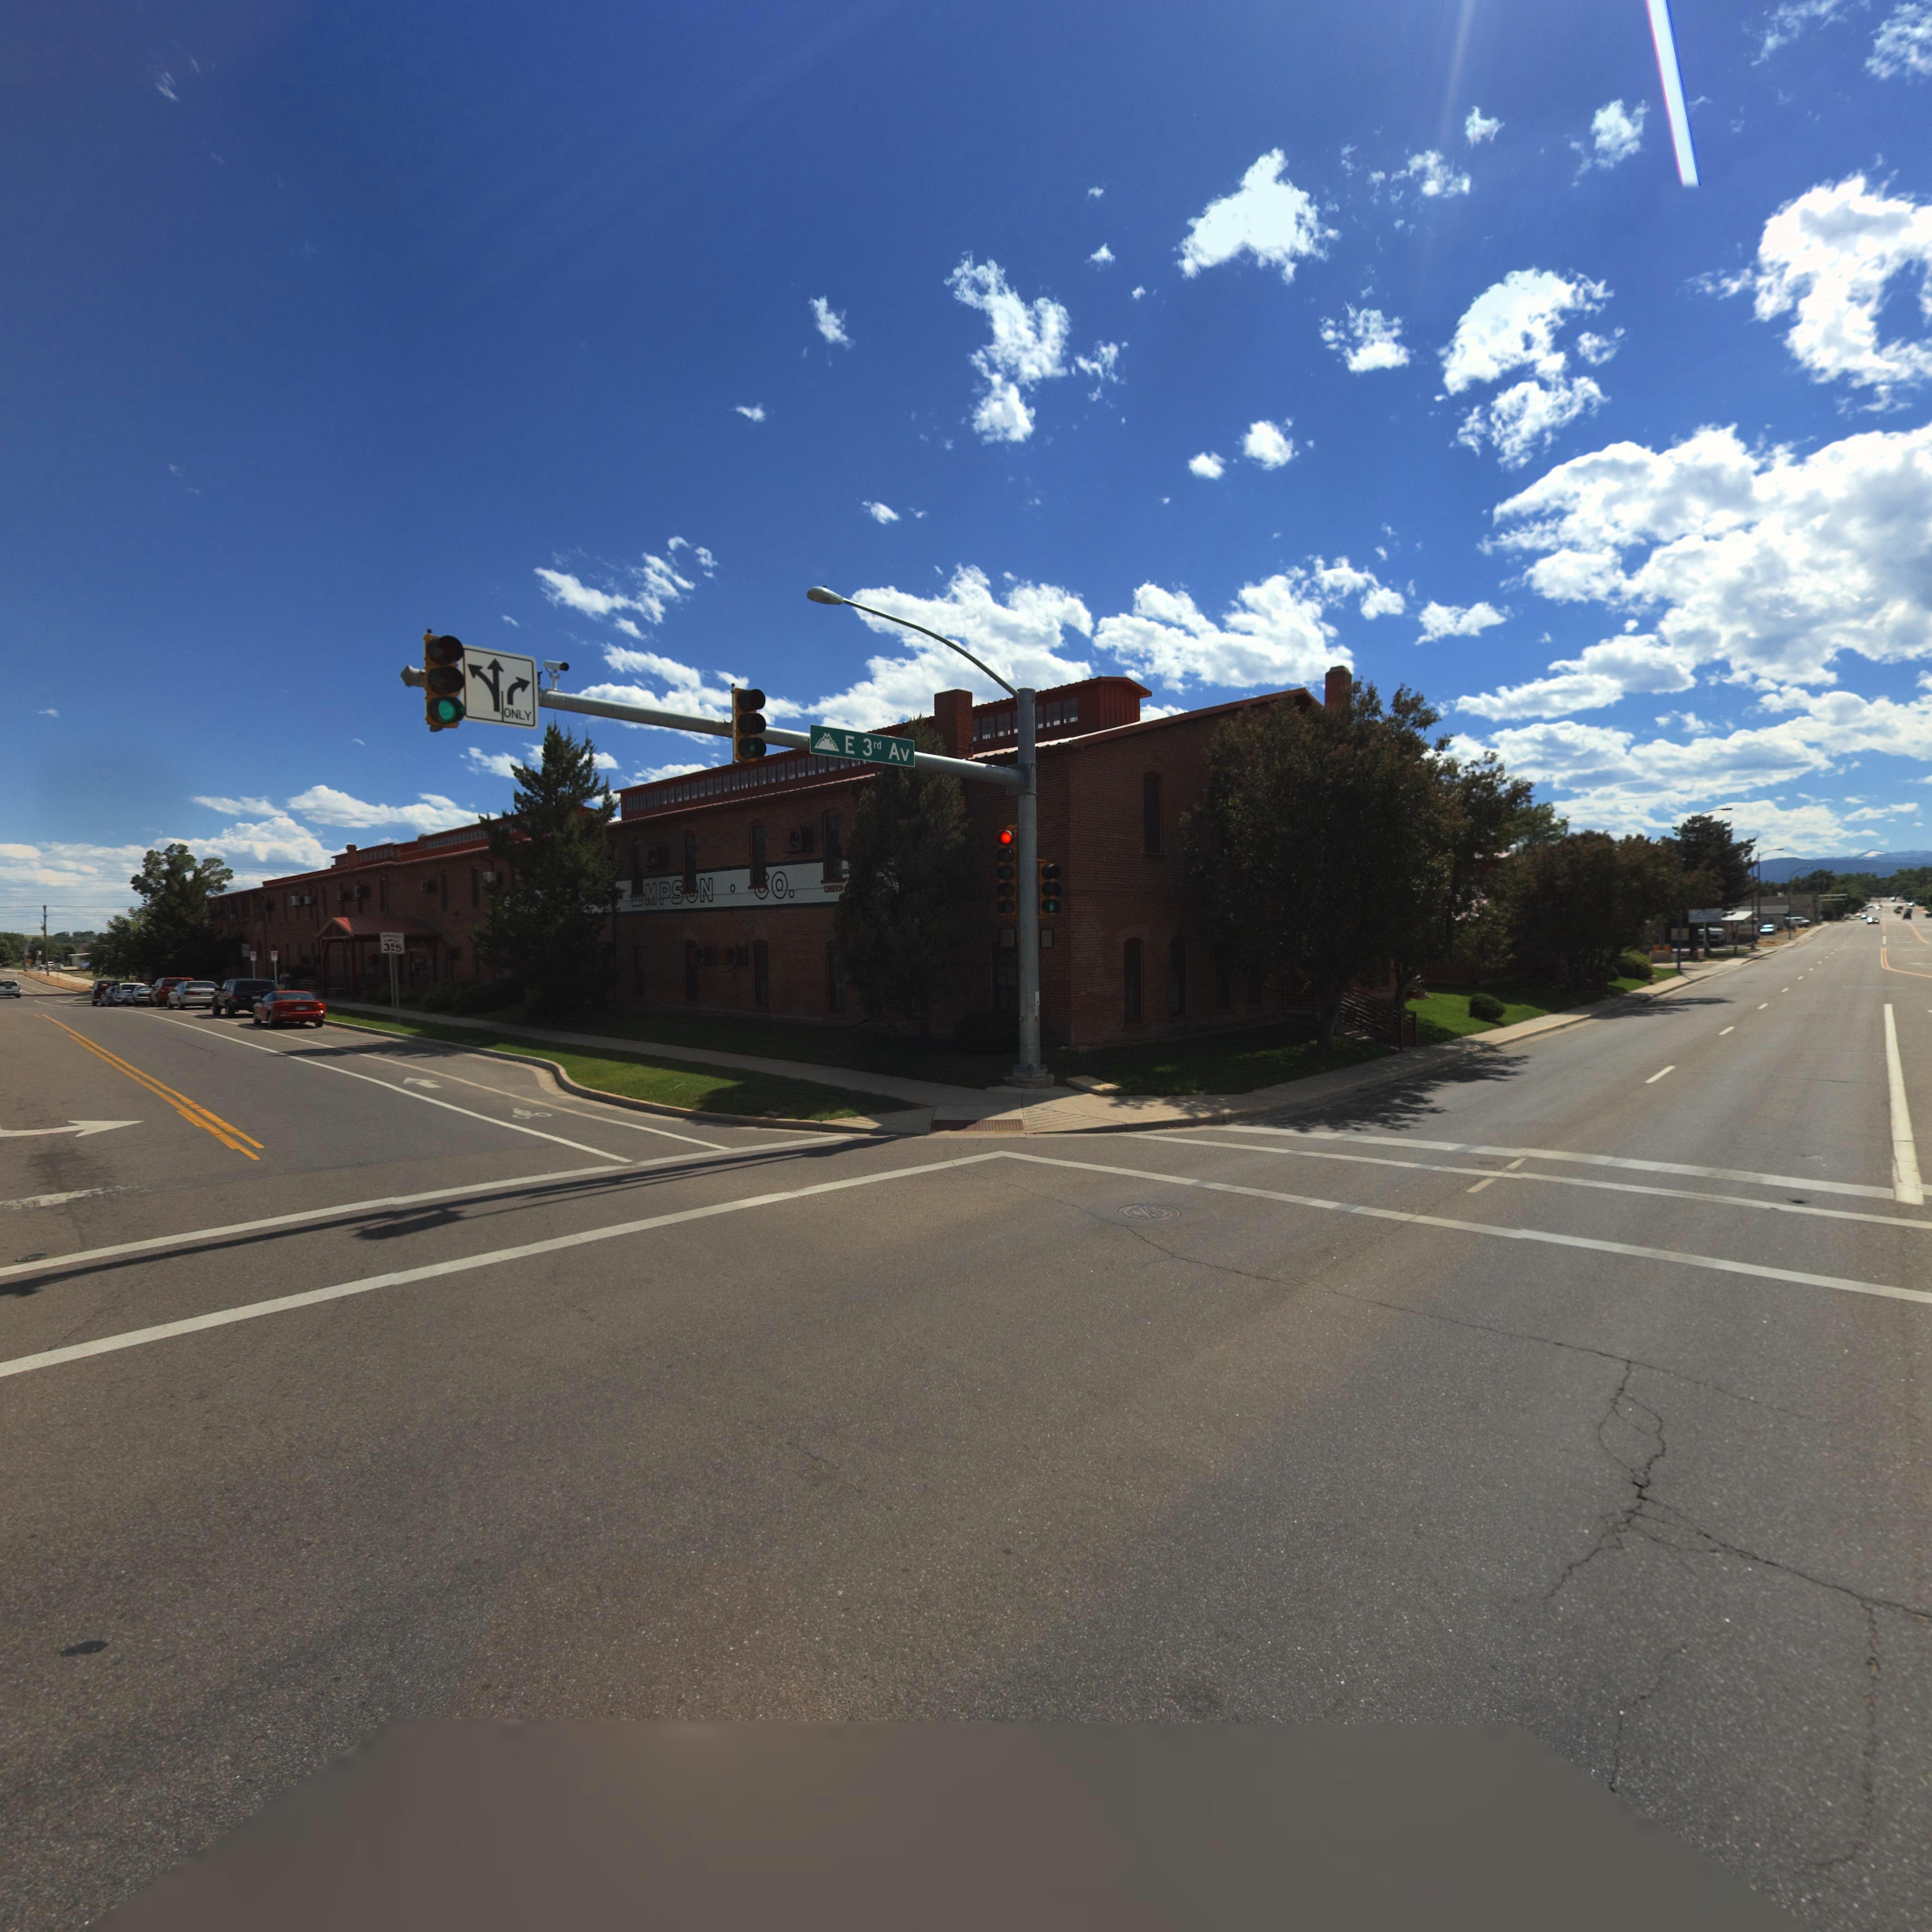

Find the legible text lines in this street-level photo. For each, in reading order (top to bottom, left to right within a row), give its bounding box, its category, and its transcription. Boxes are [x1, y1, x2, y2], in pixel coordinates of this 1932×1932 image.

[844, 734, 911, 762] StreetName: E 3rd Av
[629, 869, 797, 907] BusinessName: *MPS*N * *O.